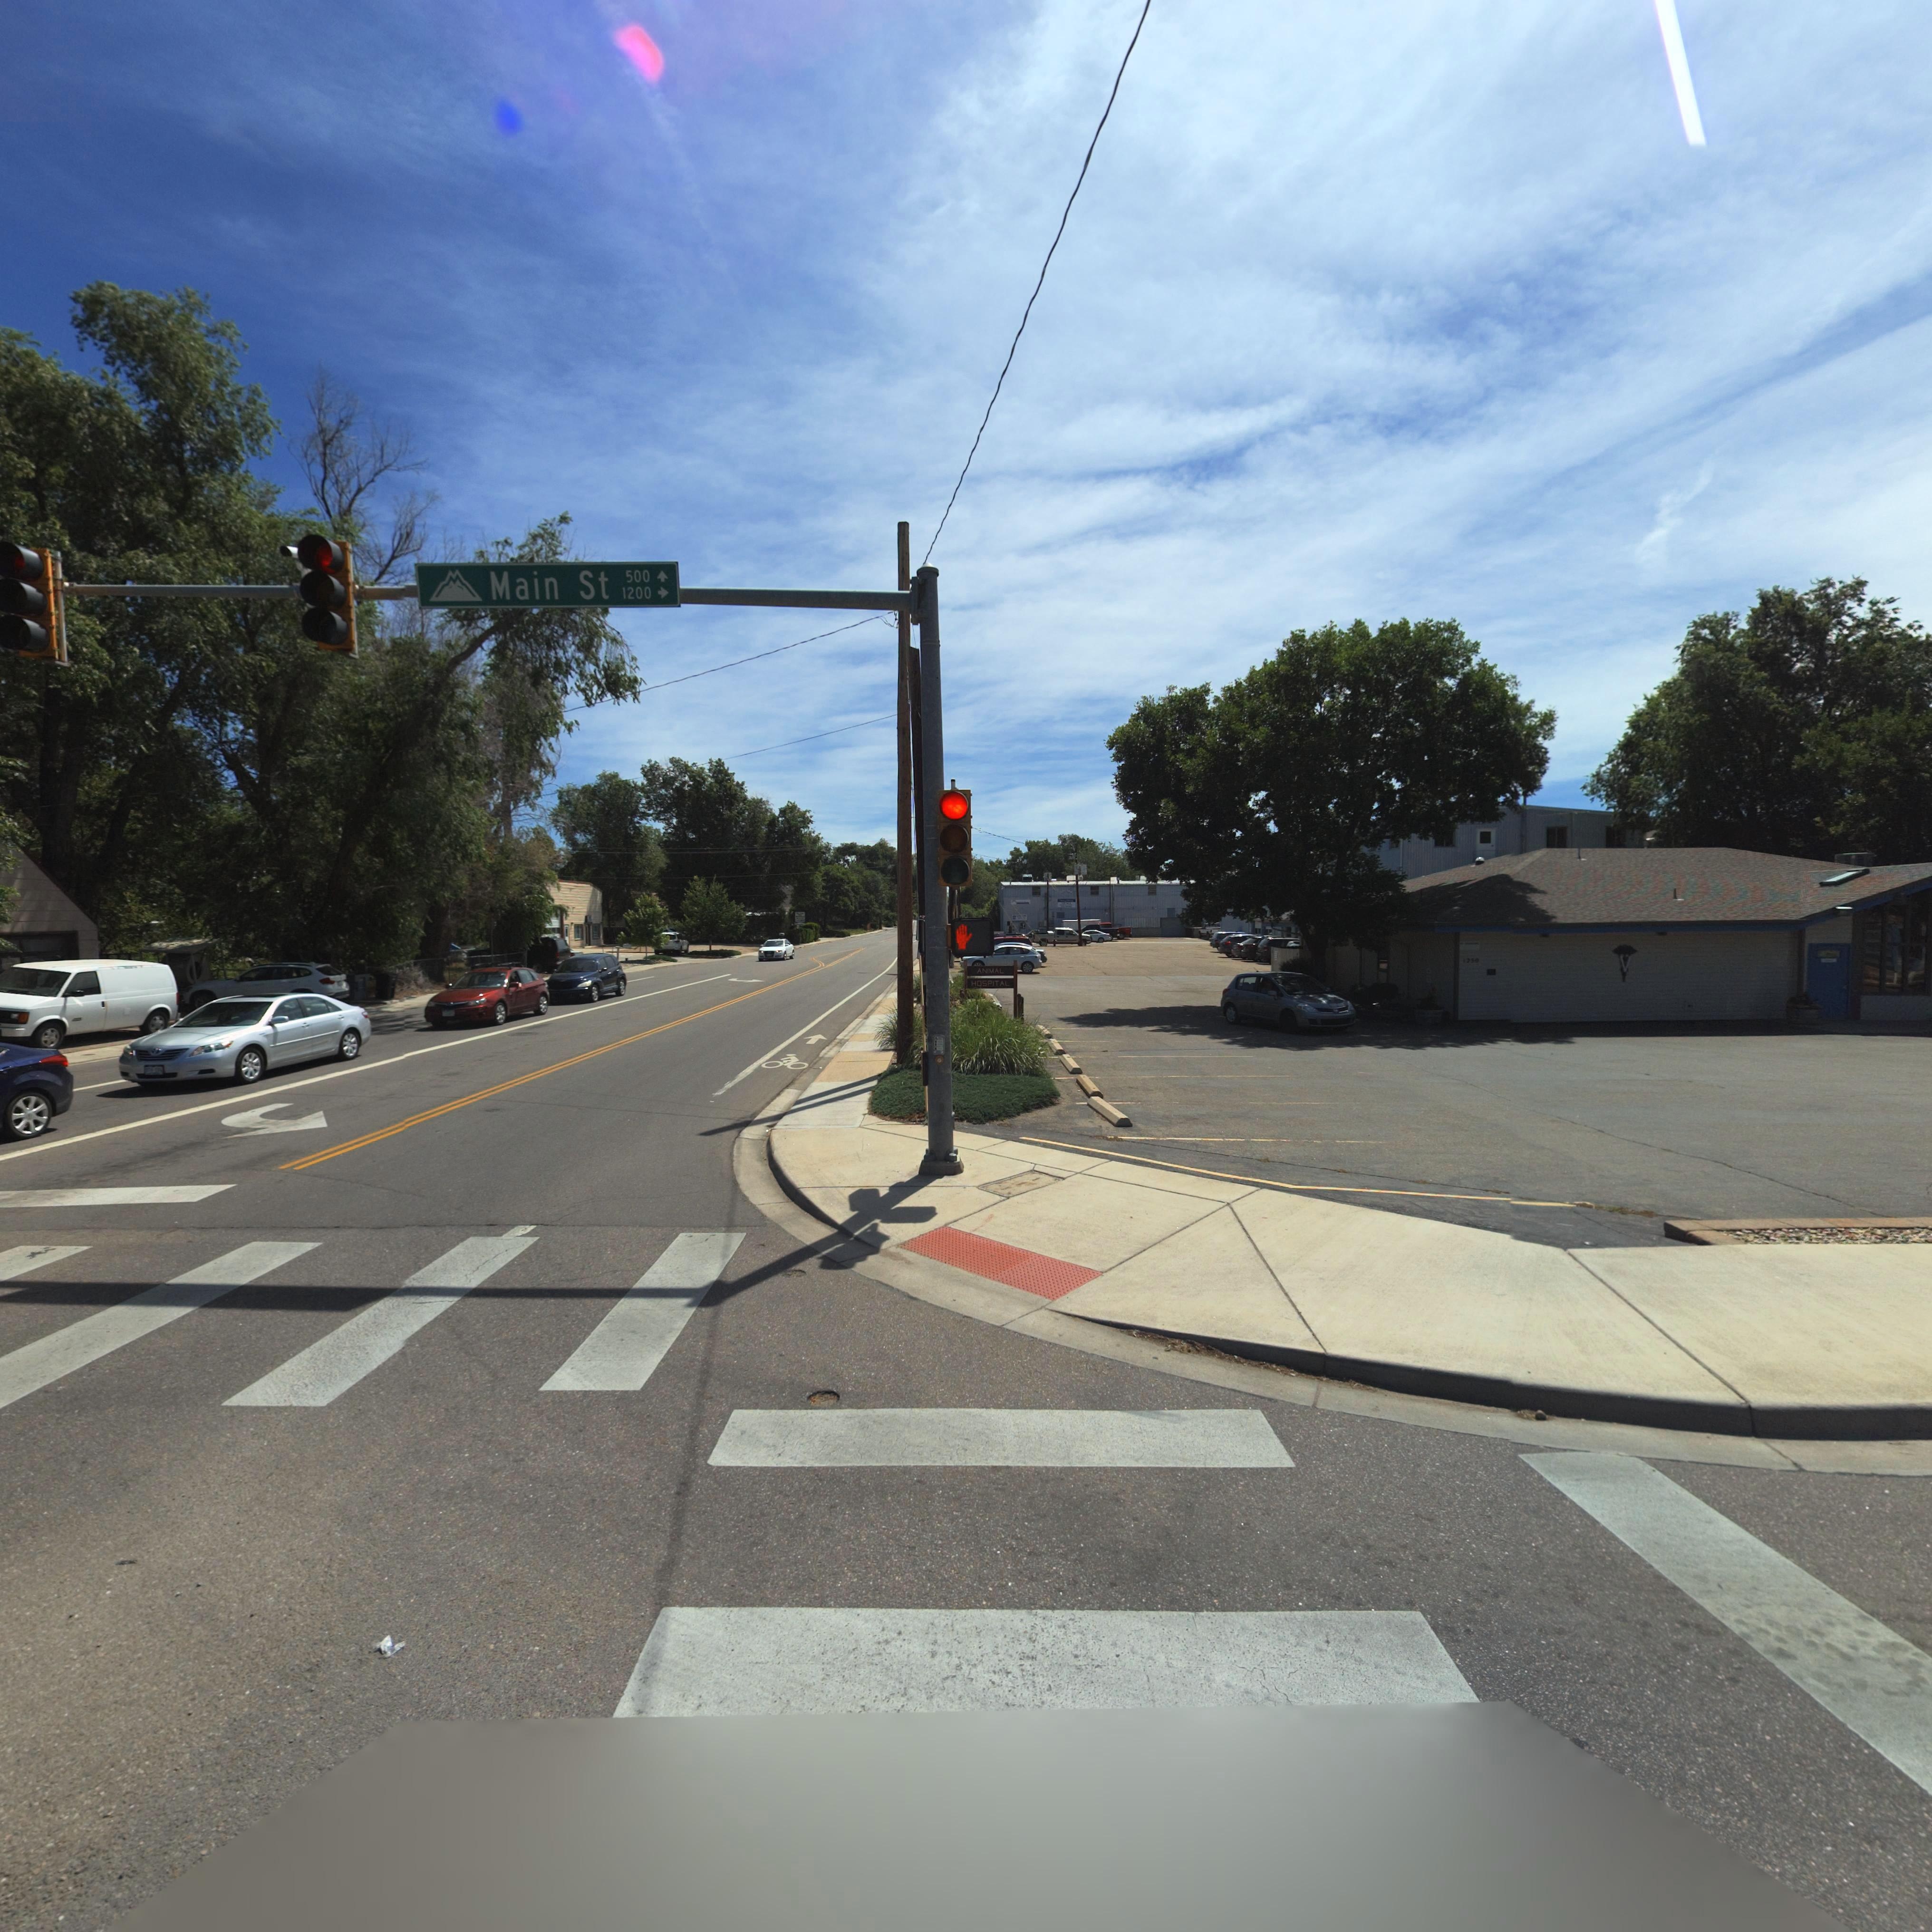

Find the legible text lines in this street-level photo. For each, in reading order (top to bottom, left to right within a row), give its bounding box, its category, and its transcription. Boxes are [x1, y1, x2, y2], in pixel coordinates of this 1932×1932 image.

[625, 569, 650, 583] StreetNumberRange: 500
[489, 570, 610, 600] StreetName: Main St
[622, 586, 670, 599] StreetNumberRange: 1200->
[1463, 957, 1479, 963] StreetNumber: 12*0
[976, 967, 1005, 974] BusinessName: ANIMAL
[971, 980, 1010, 986] BusinessName: HOSPITAL